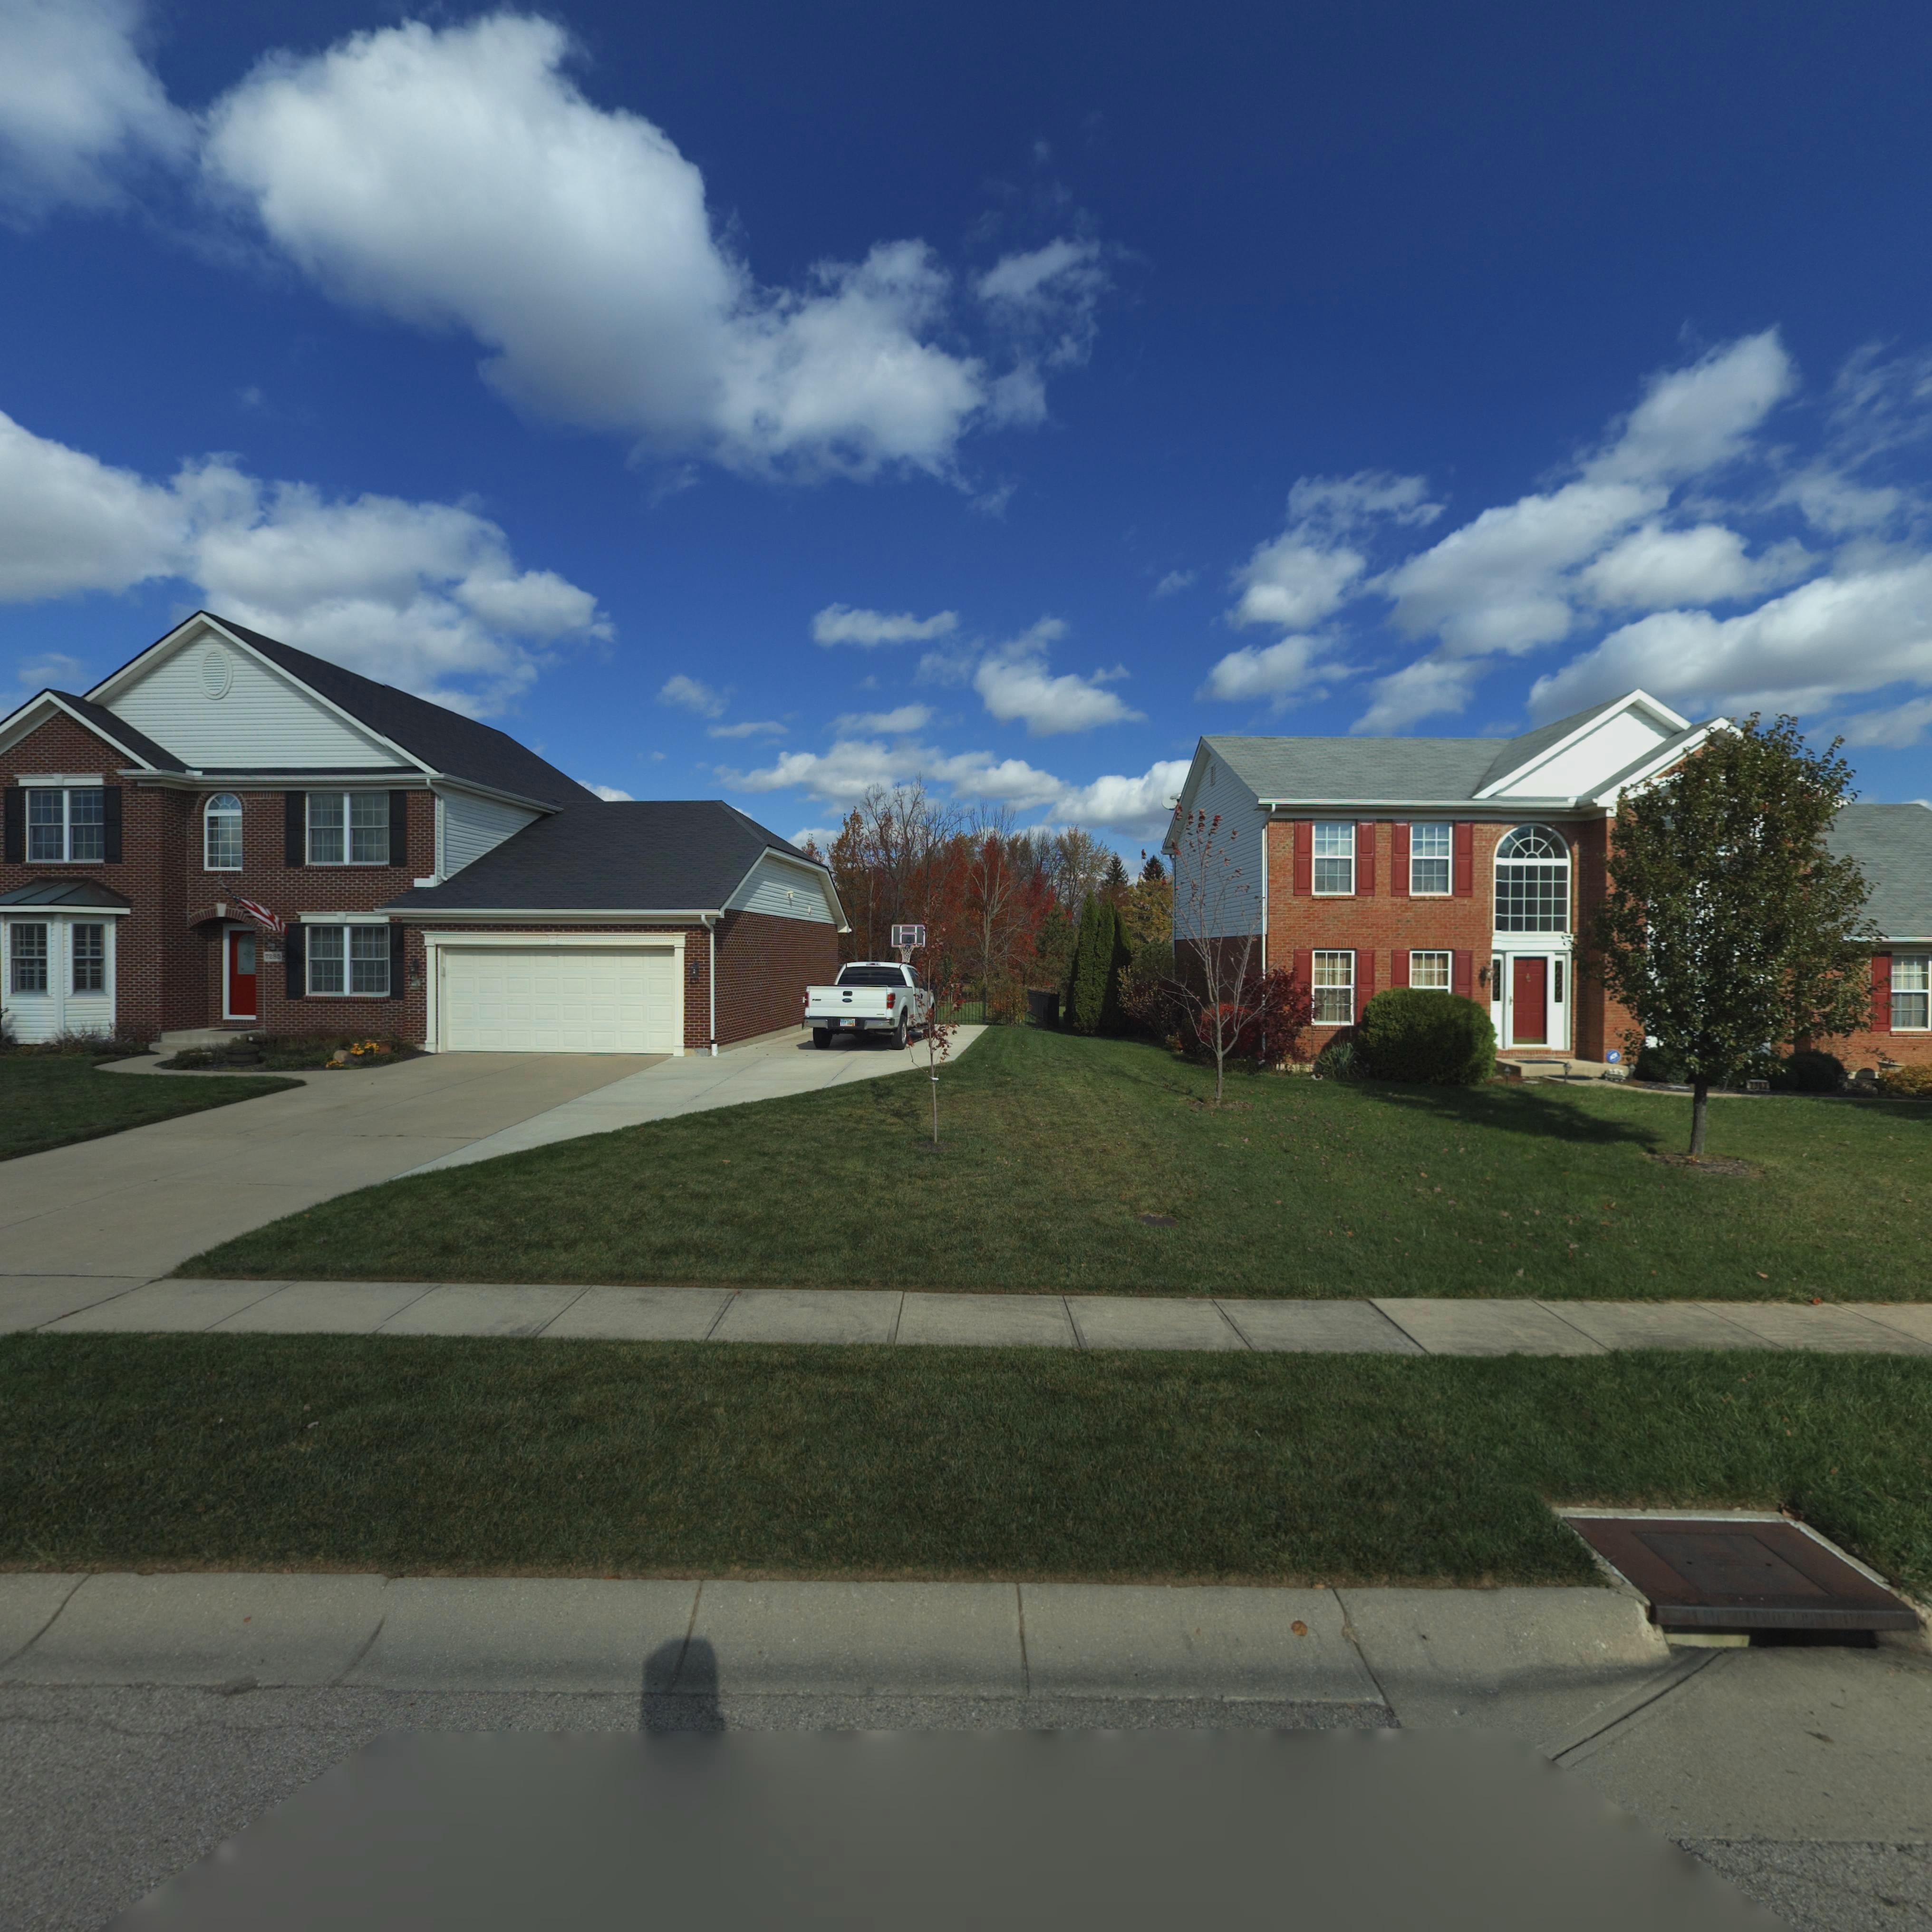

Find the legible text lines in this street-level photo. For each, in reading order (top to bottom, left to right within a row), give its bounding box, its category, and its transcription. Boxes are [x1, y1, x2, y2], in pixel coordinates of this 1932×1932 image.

[264, 953, 282, 960] StreetNumber: 7285